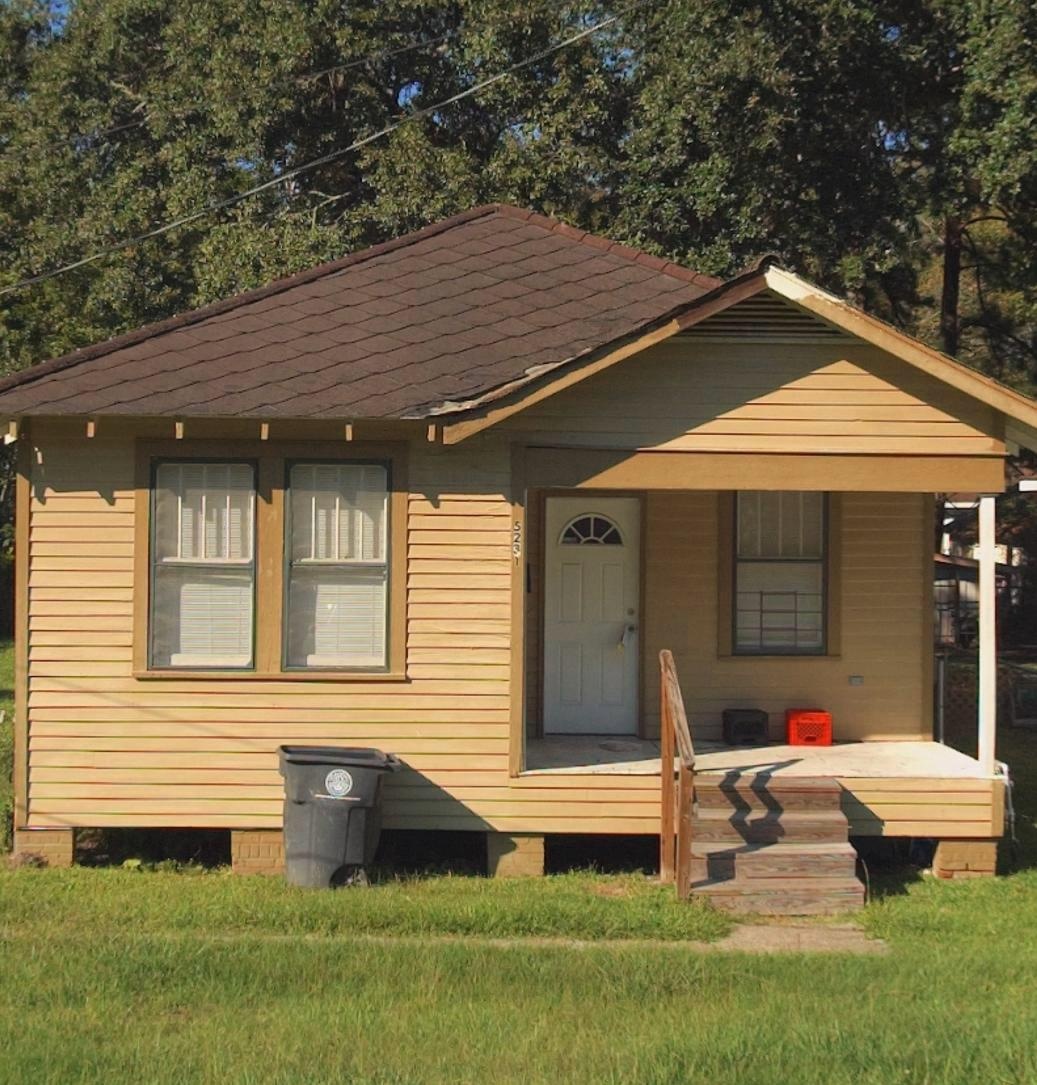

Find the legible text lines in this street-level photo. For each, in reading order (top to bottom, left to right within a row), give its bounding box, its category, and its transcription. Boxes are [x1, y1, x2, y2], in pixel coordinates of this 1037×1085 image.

[512, 518, 523, 567] StreetNumber: 5231